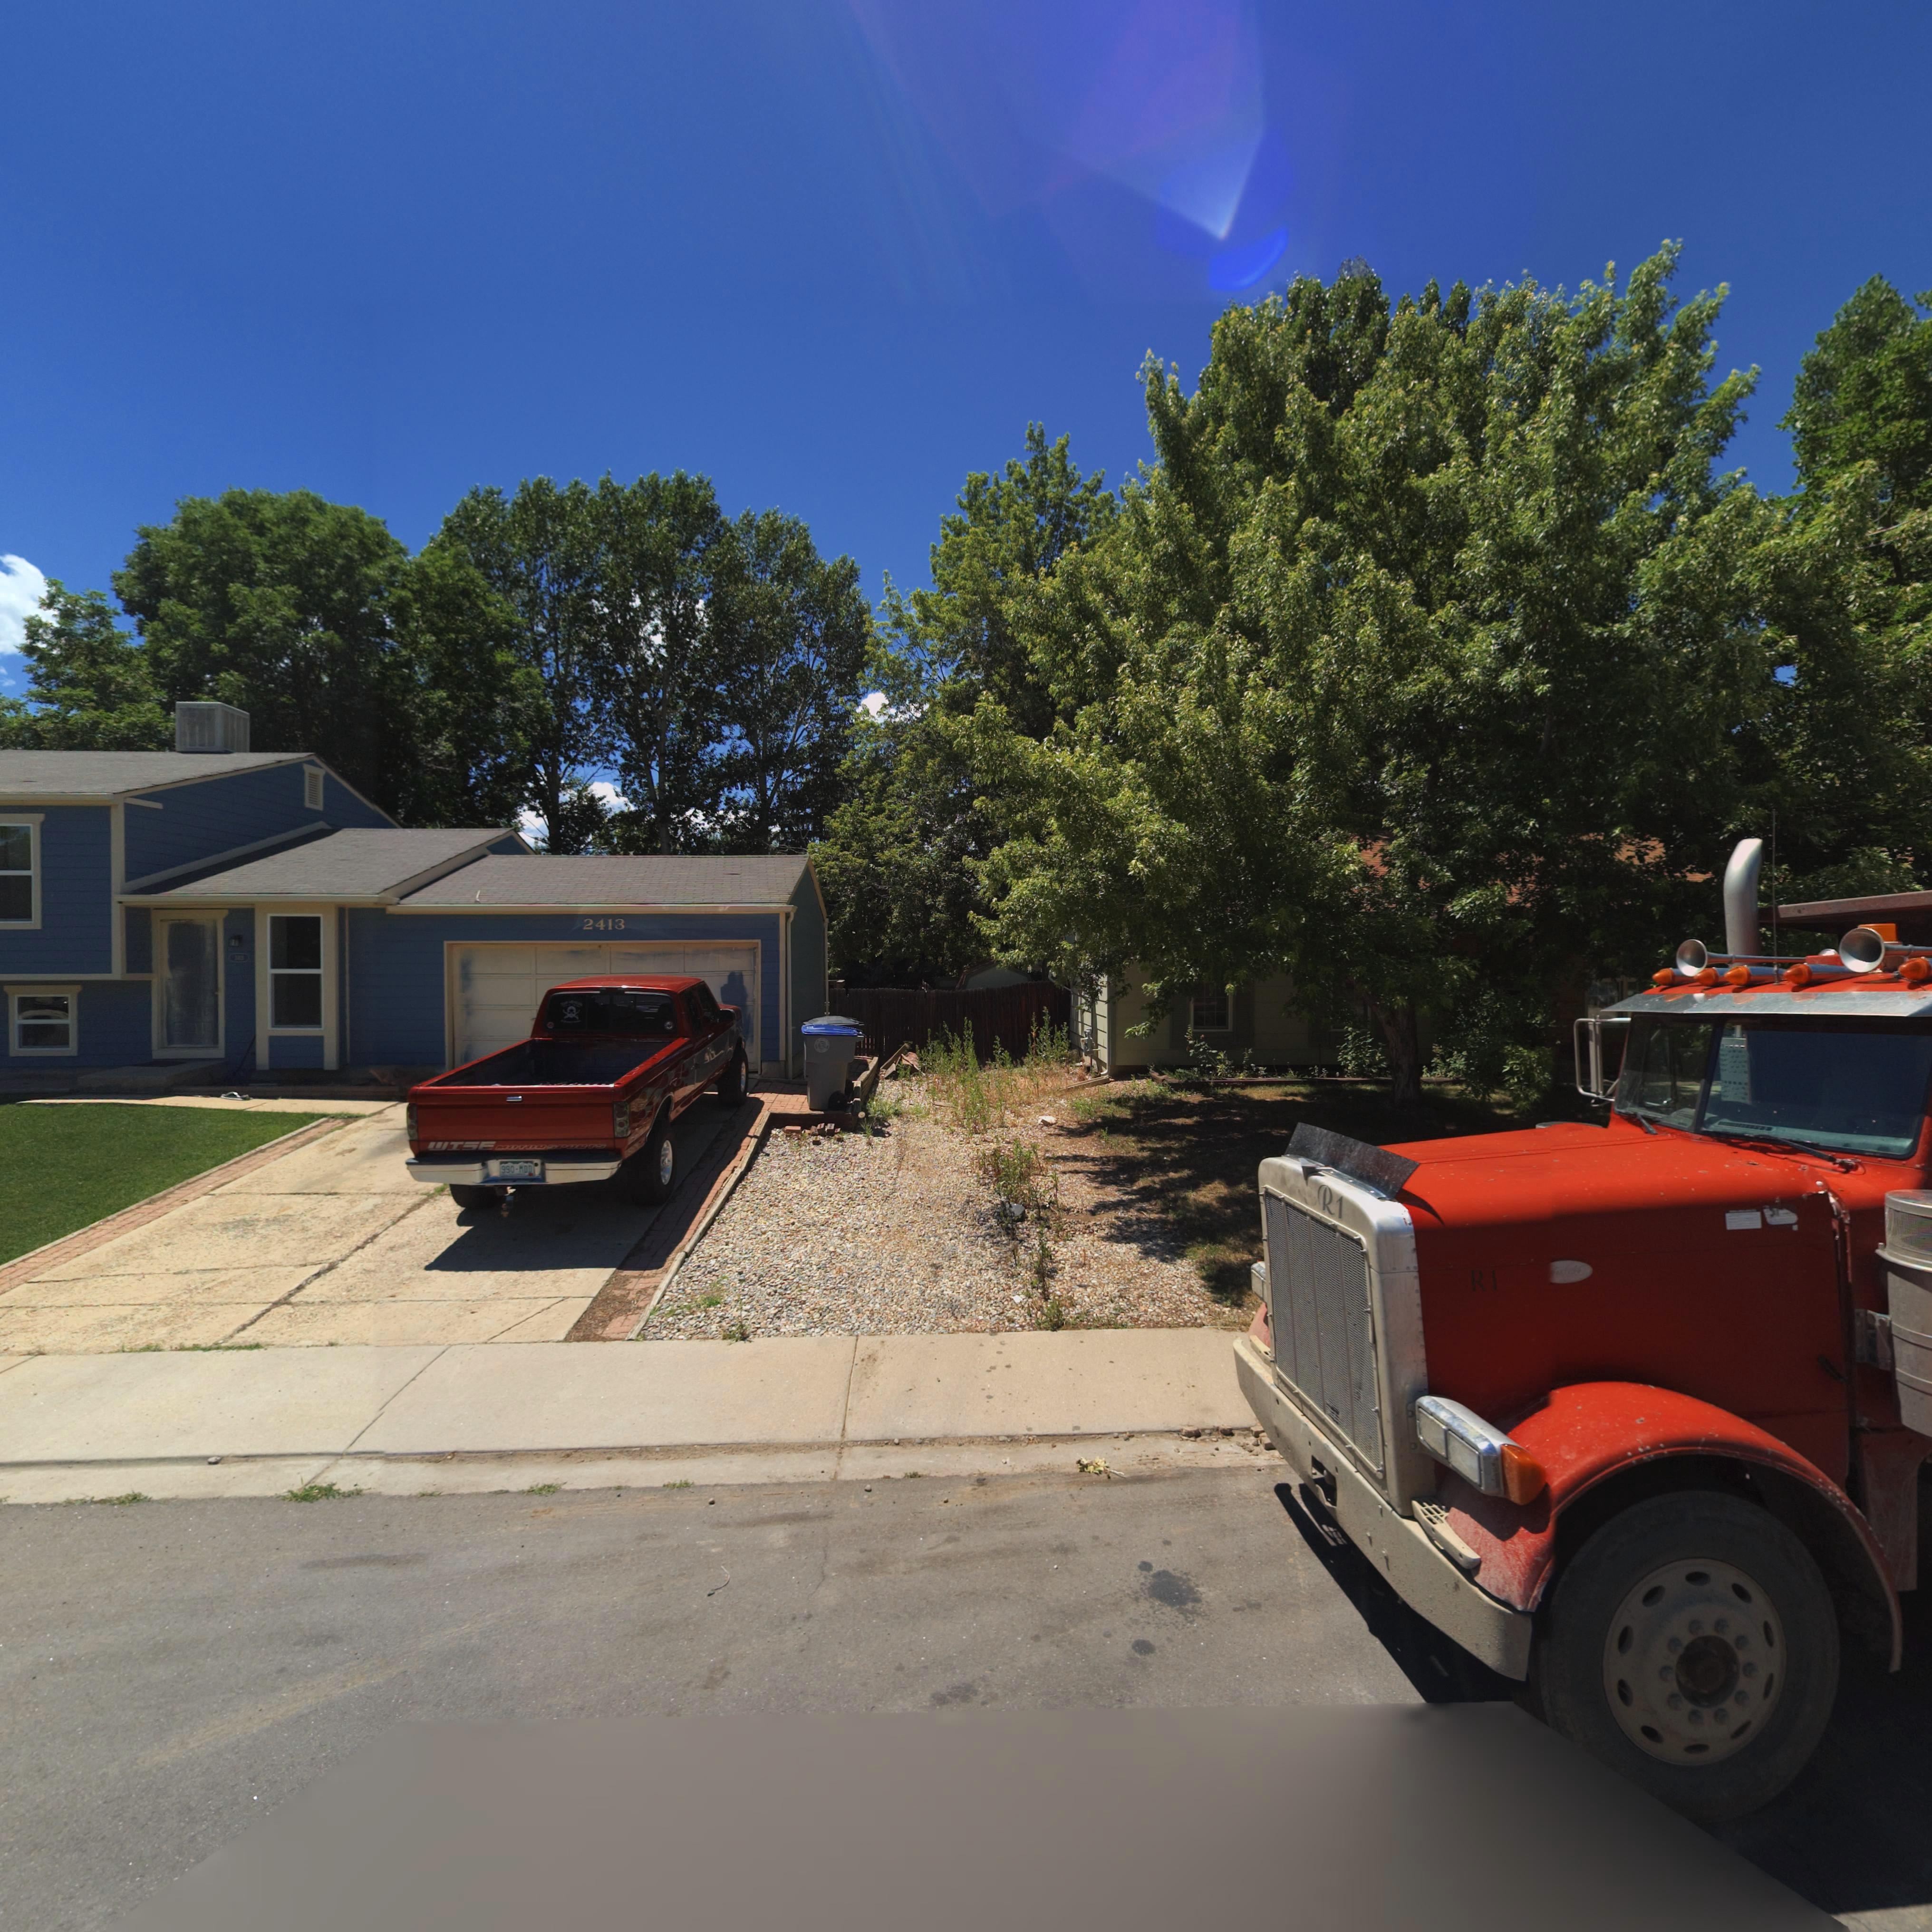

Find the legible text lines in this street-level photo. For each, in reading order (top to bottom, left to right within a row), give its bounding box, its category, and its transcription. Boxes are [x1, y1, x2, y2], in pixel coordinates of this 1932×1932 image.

[582, 916, 626, 931] StreetNumber: 2413